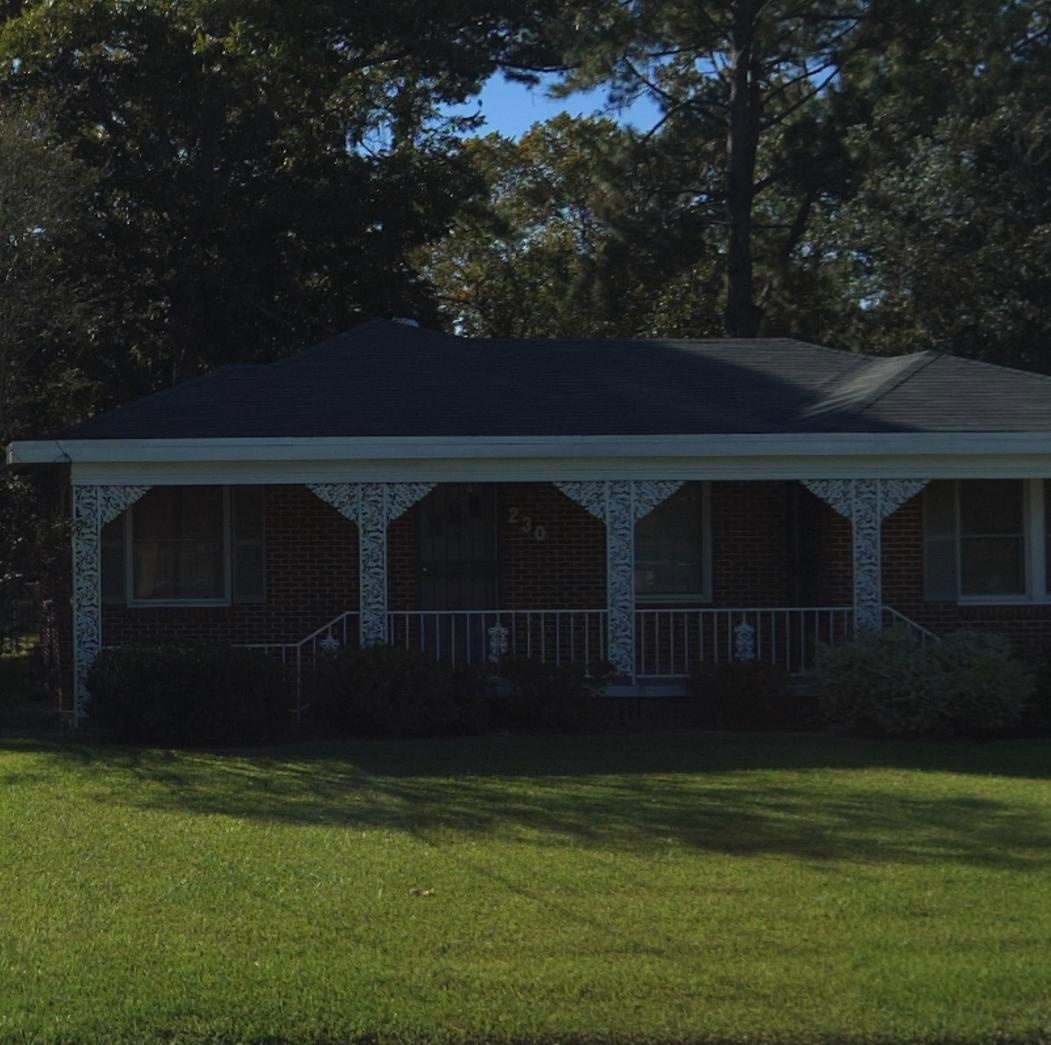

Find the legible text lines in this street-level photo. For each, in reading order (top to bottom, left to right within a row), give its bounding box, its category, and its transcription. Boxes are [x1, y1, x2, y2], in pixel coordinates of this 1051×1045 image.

[506, 505, 549, 544] StreetNumber: 230